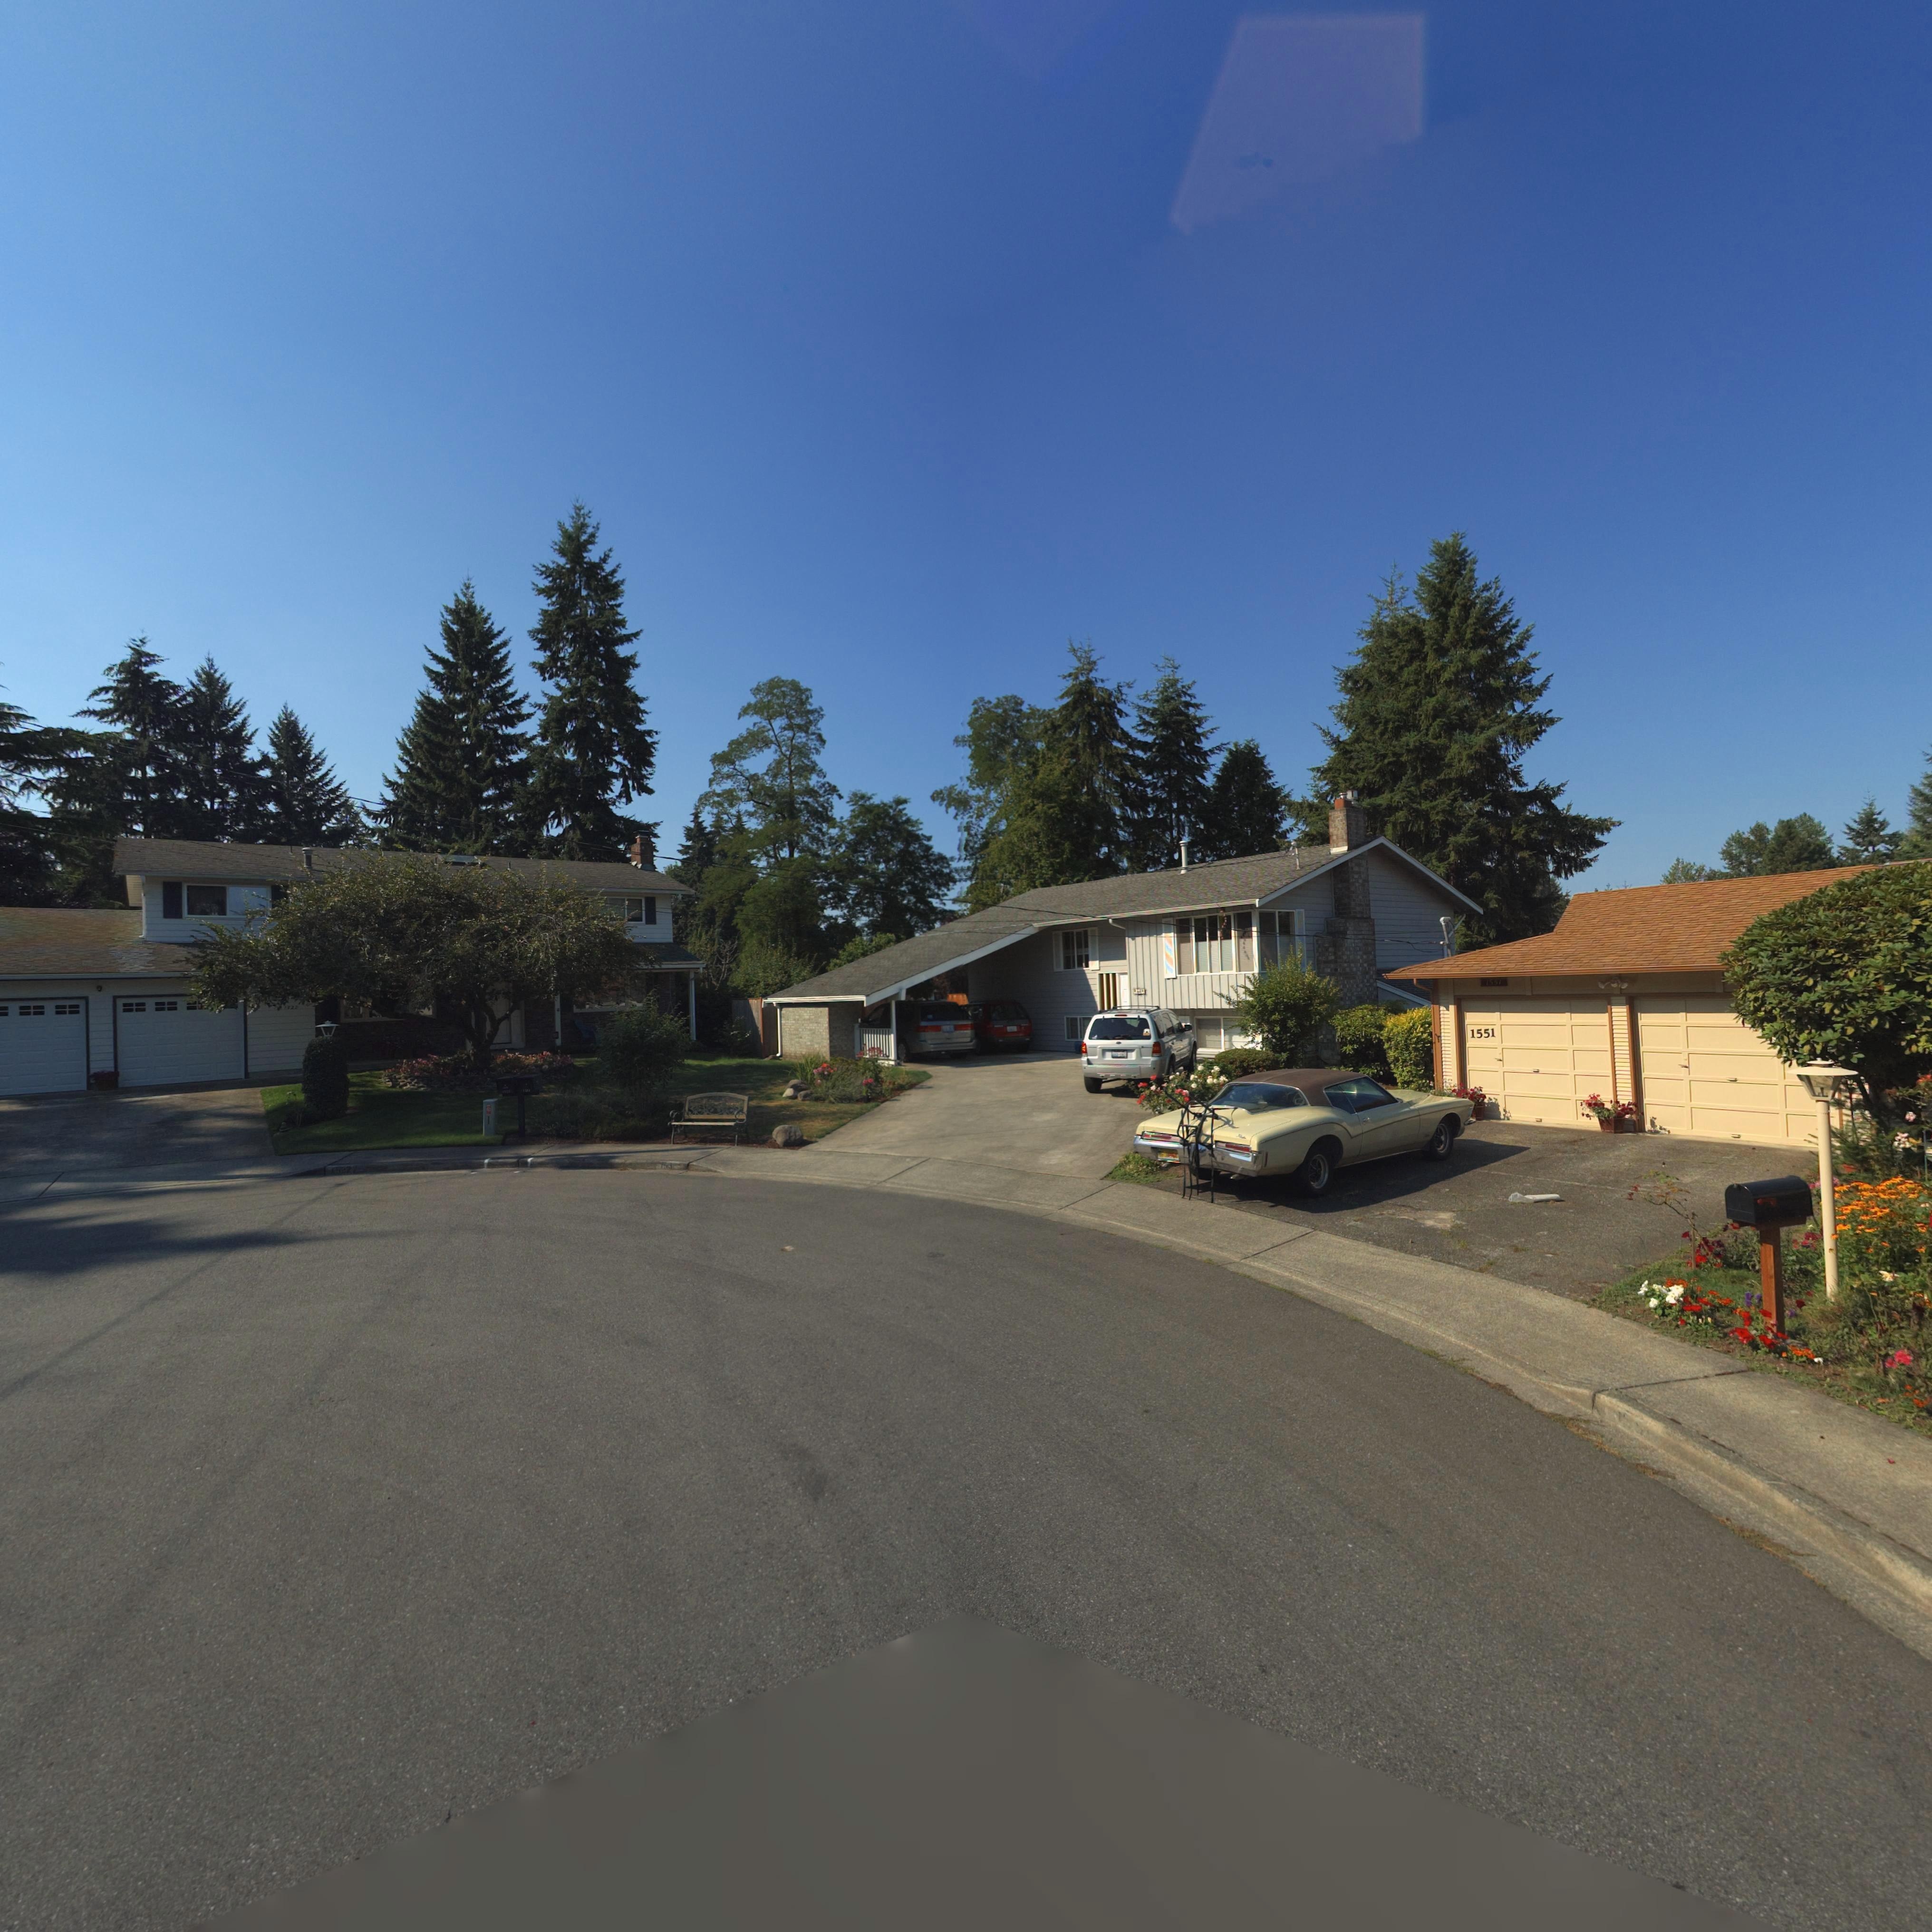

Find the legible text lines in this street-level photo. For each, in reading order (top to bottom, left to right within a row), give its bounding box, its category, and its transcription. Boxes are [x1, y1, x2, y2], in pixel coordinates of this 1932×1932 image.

[1469, 1027, 1497, 1039] StreetNumber: 1551